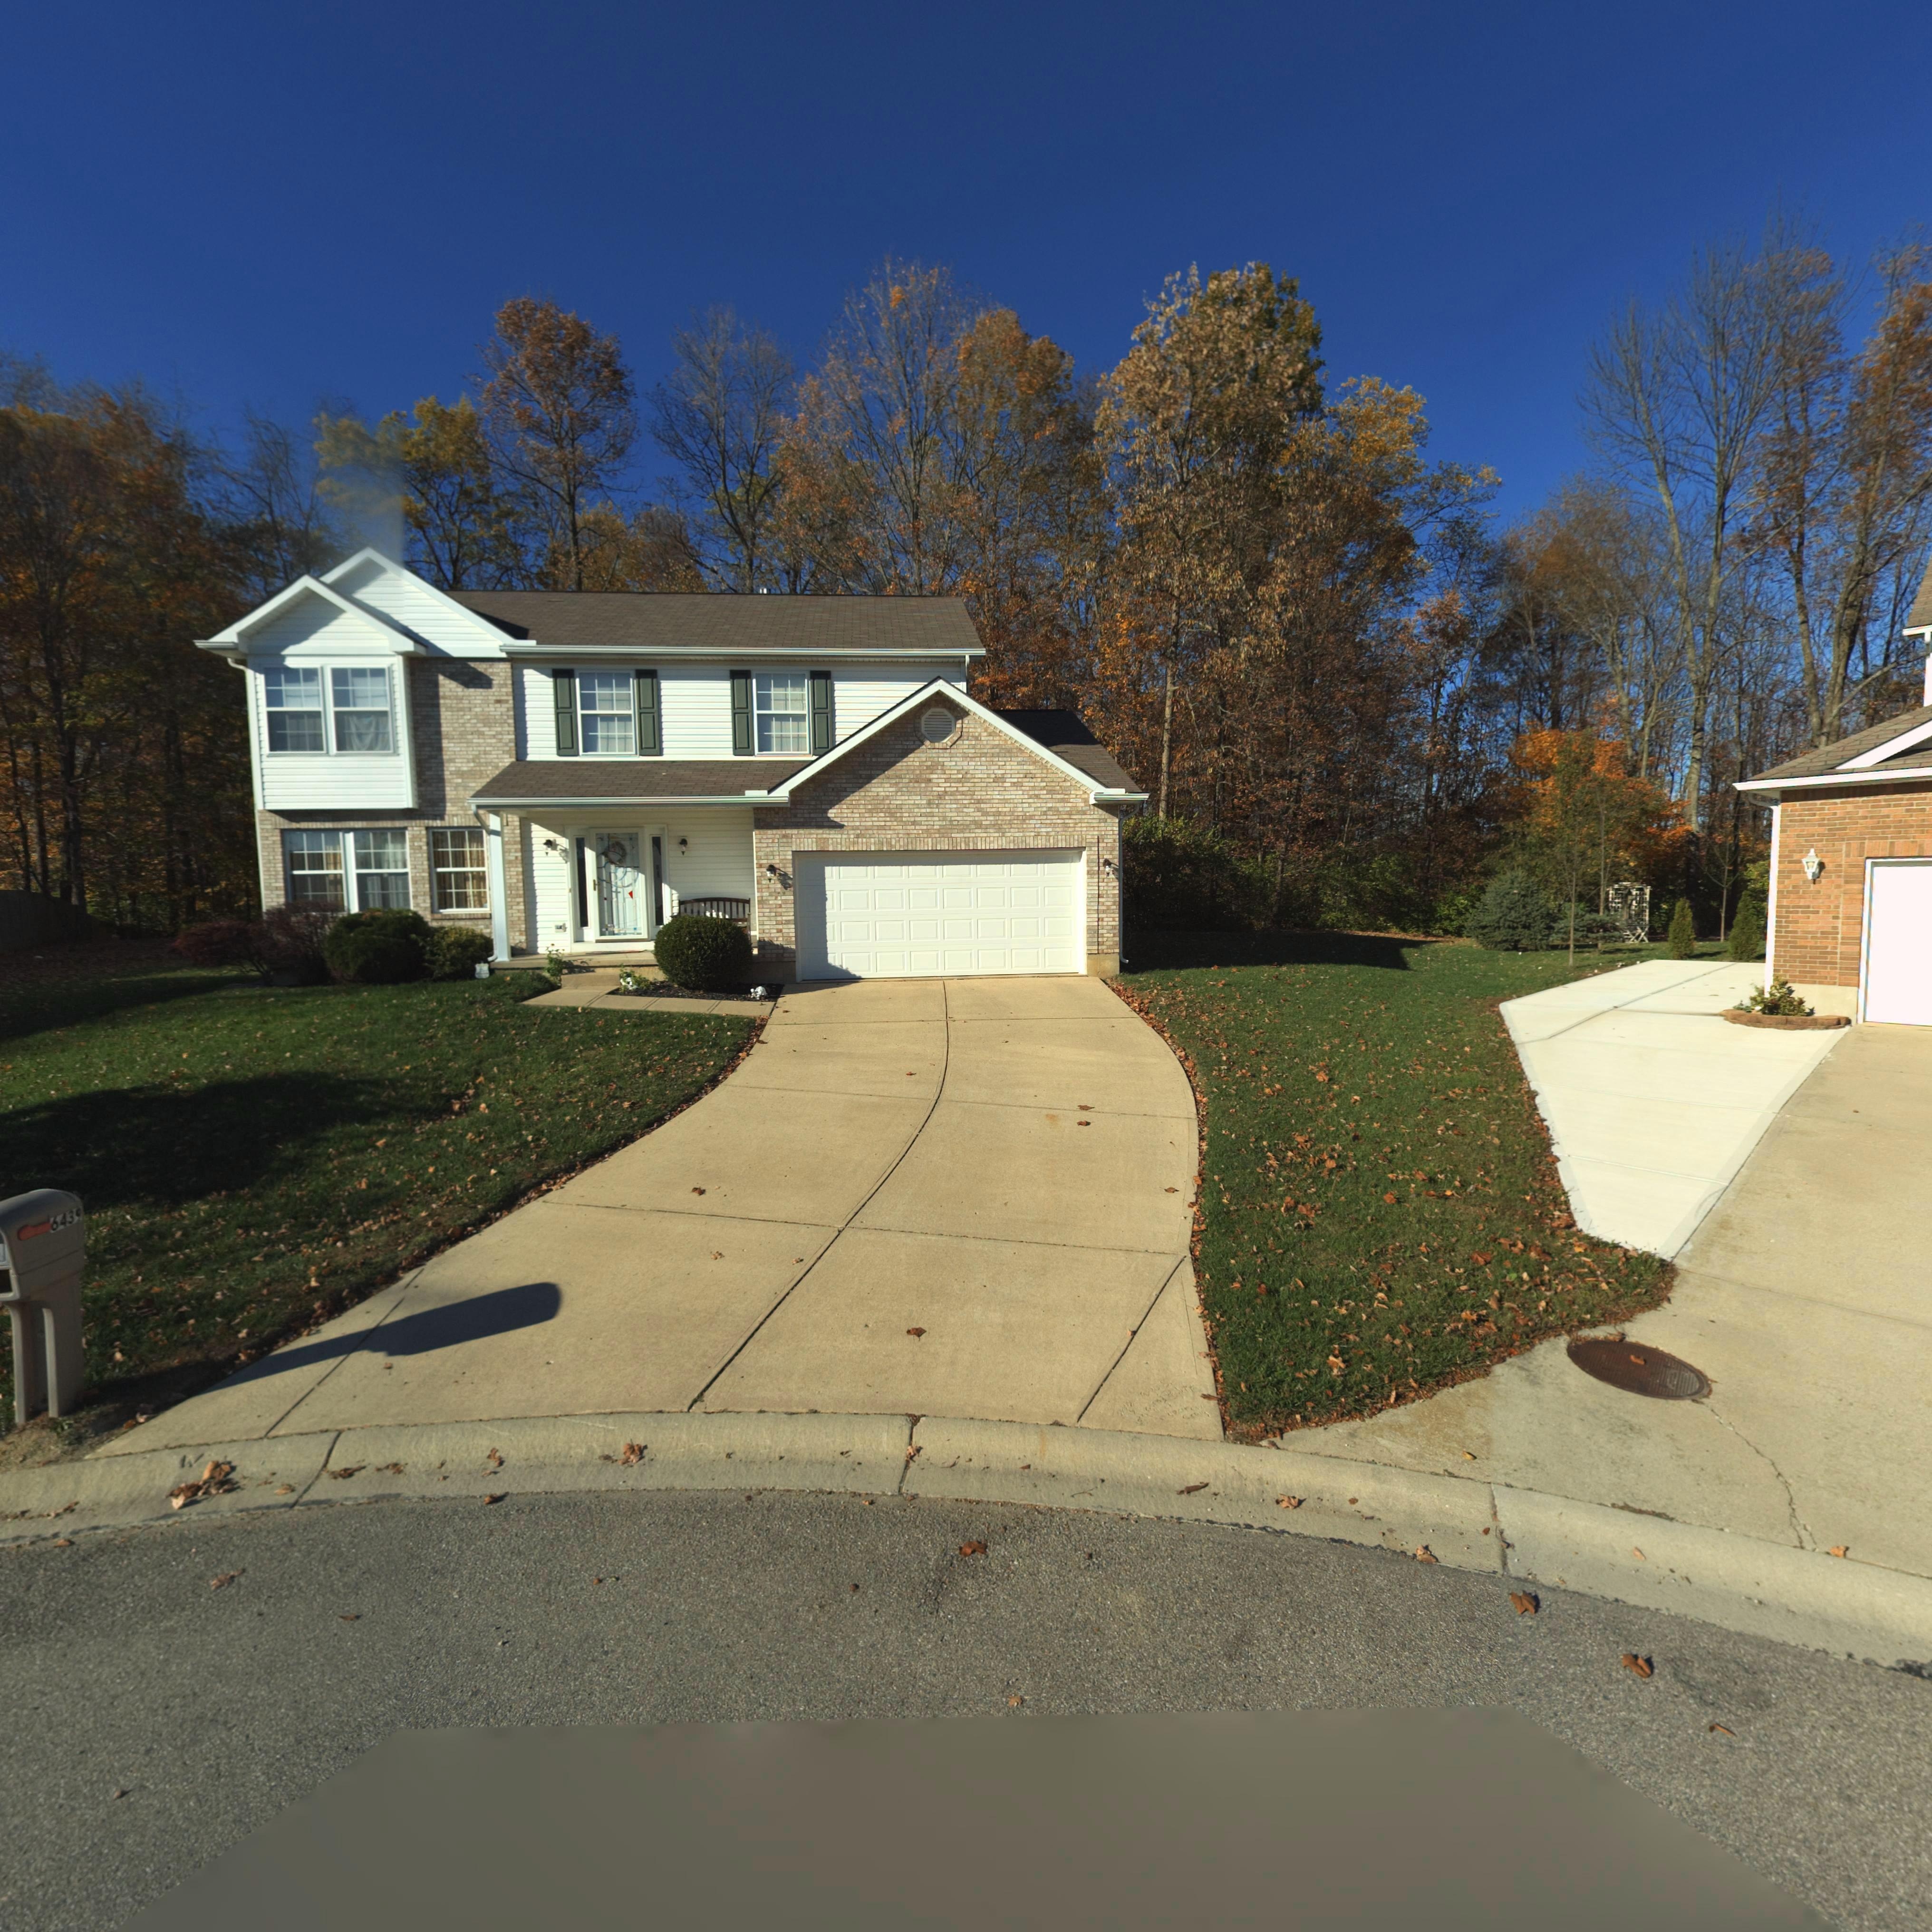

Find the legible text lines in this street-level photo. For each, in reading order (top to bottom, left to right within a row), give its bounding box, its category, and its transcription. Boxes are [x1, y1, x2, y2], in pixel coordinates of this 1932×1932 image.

[49, 1206, 83, 1233] StreetNumber: 6439